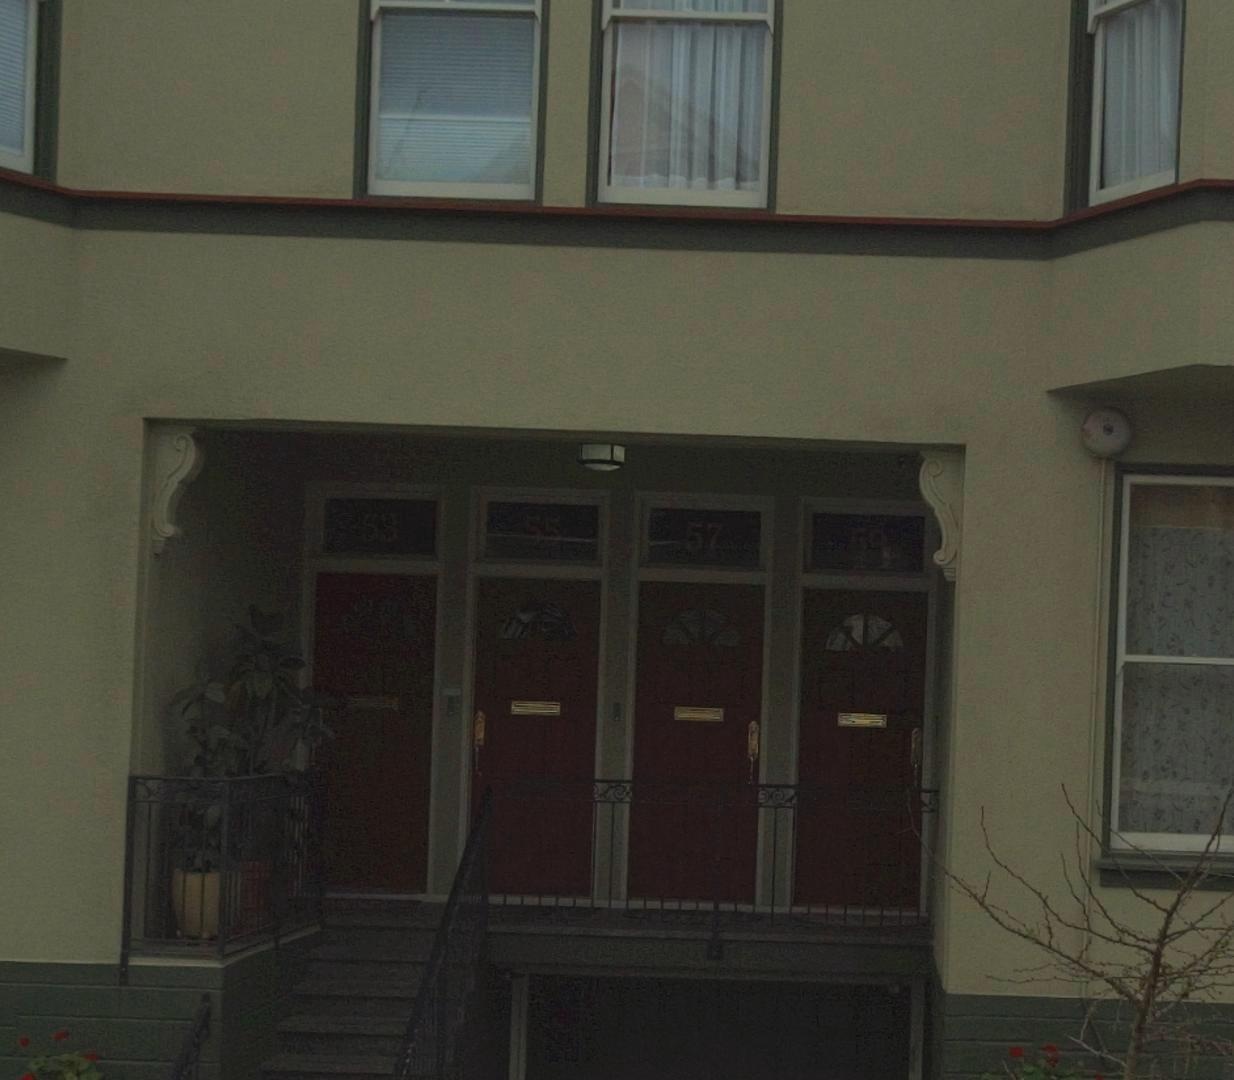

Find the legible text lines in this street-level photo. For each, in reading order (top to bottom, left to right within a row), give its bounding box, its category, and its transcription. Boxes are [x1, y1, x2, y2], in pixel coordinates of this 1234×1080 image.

[356, 510, 401, 546] StreetNumber: 53
[521, 513, 563, 548] StreetNumber: 55
[682, 520, 728, 554] StreetNumber: 57
[846, 523, 890, 563] StreetNumber: 59